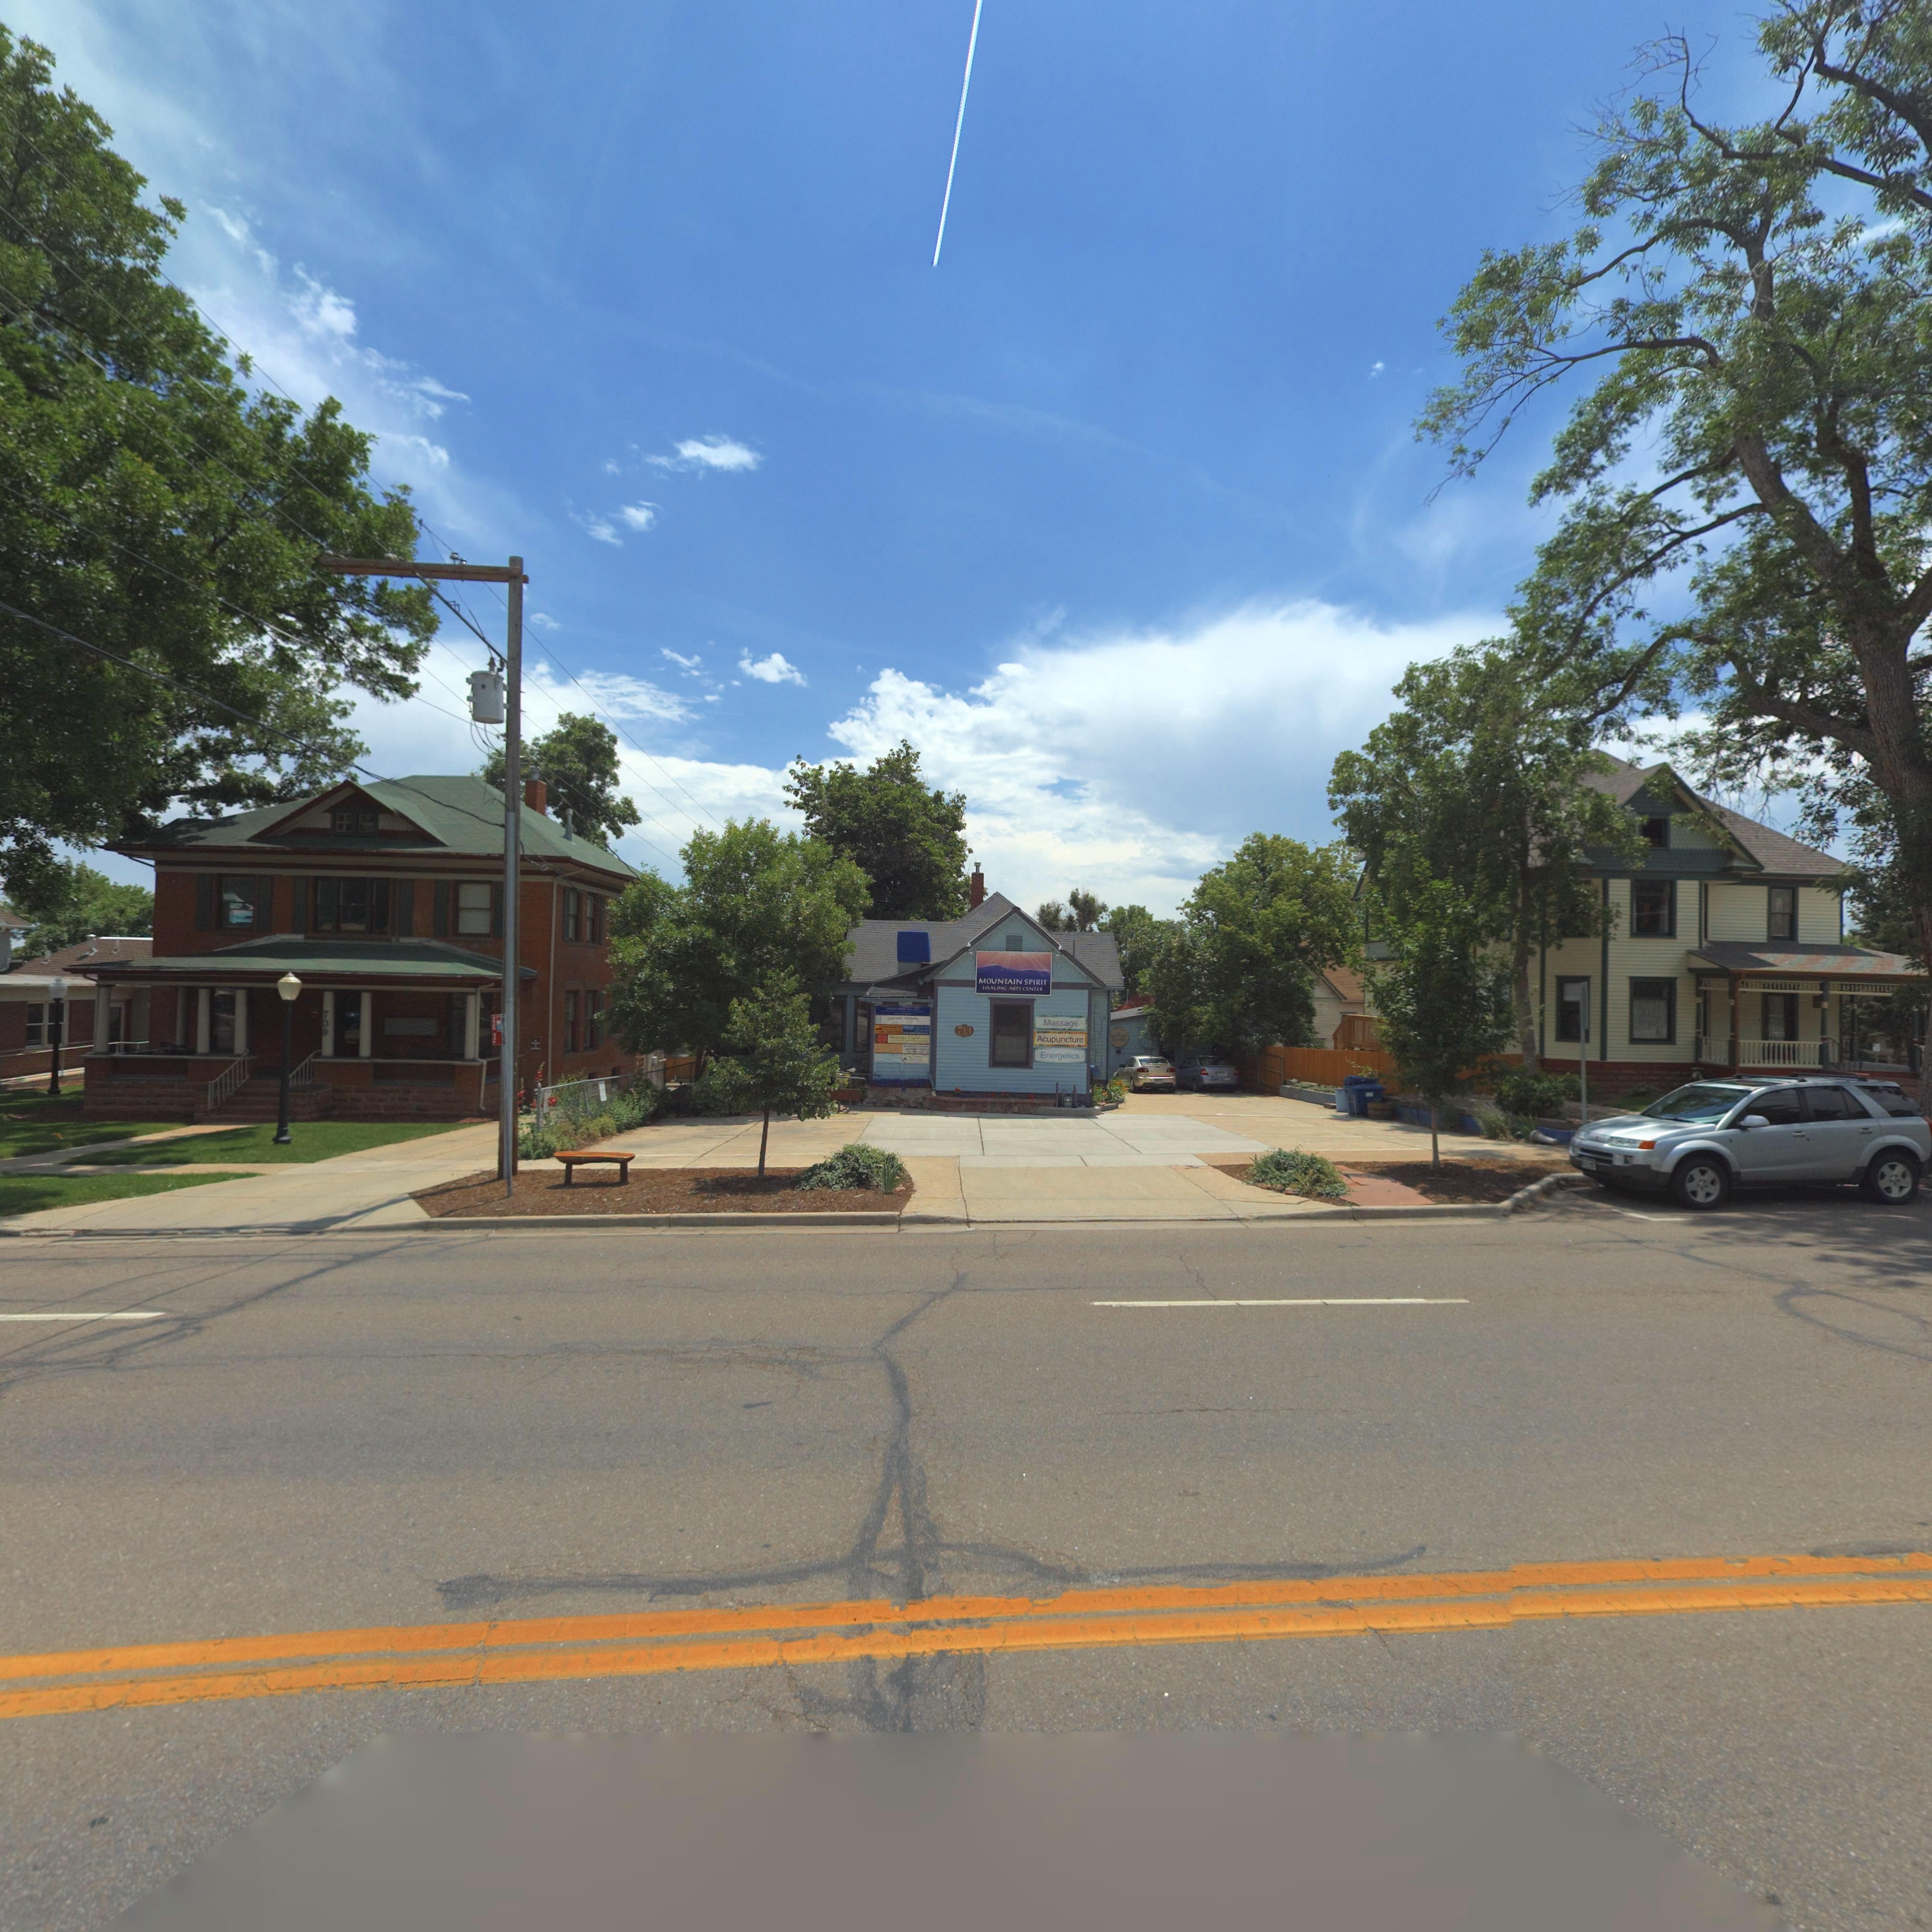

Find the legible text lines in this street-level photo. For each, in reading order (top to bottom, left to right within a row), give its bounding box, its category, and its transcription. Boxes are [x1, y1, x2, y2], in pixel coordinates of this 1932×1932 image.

[978, 978, 1048, 985] BusinessName: MOUNTAIN SPIRIT
[982, 985, 1043, 991] BusinessName: HEALING ARTS CENTER
[887, 1015, 919, 1021] BusinessName: Saint Wo***
[321, 1010, 328, 1037] StreetNumber: 709
[957, 1026, 972, 1034] StreetNumber: 713
[889, 1034, 920, 1041] BusinessName: D***** Ligh*